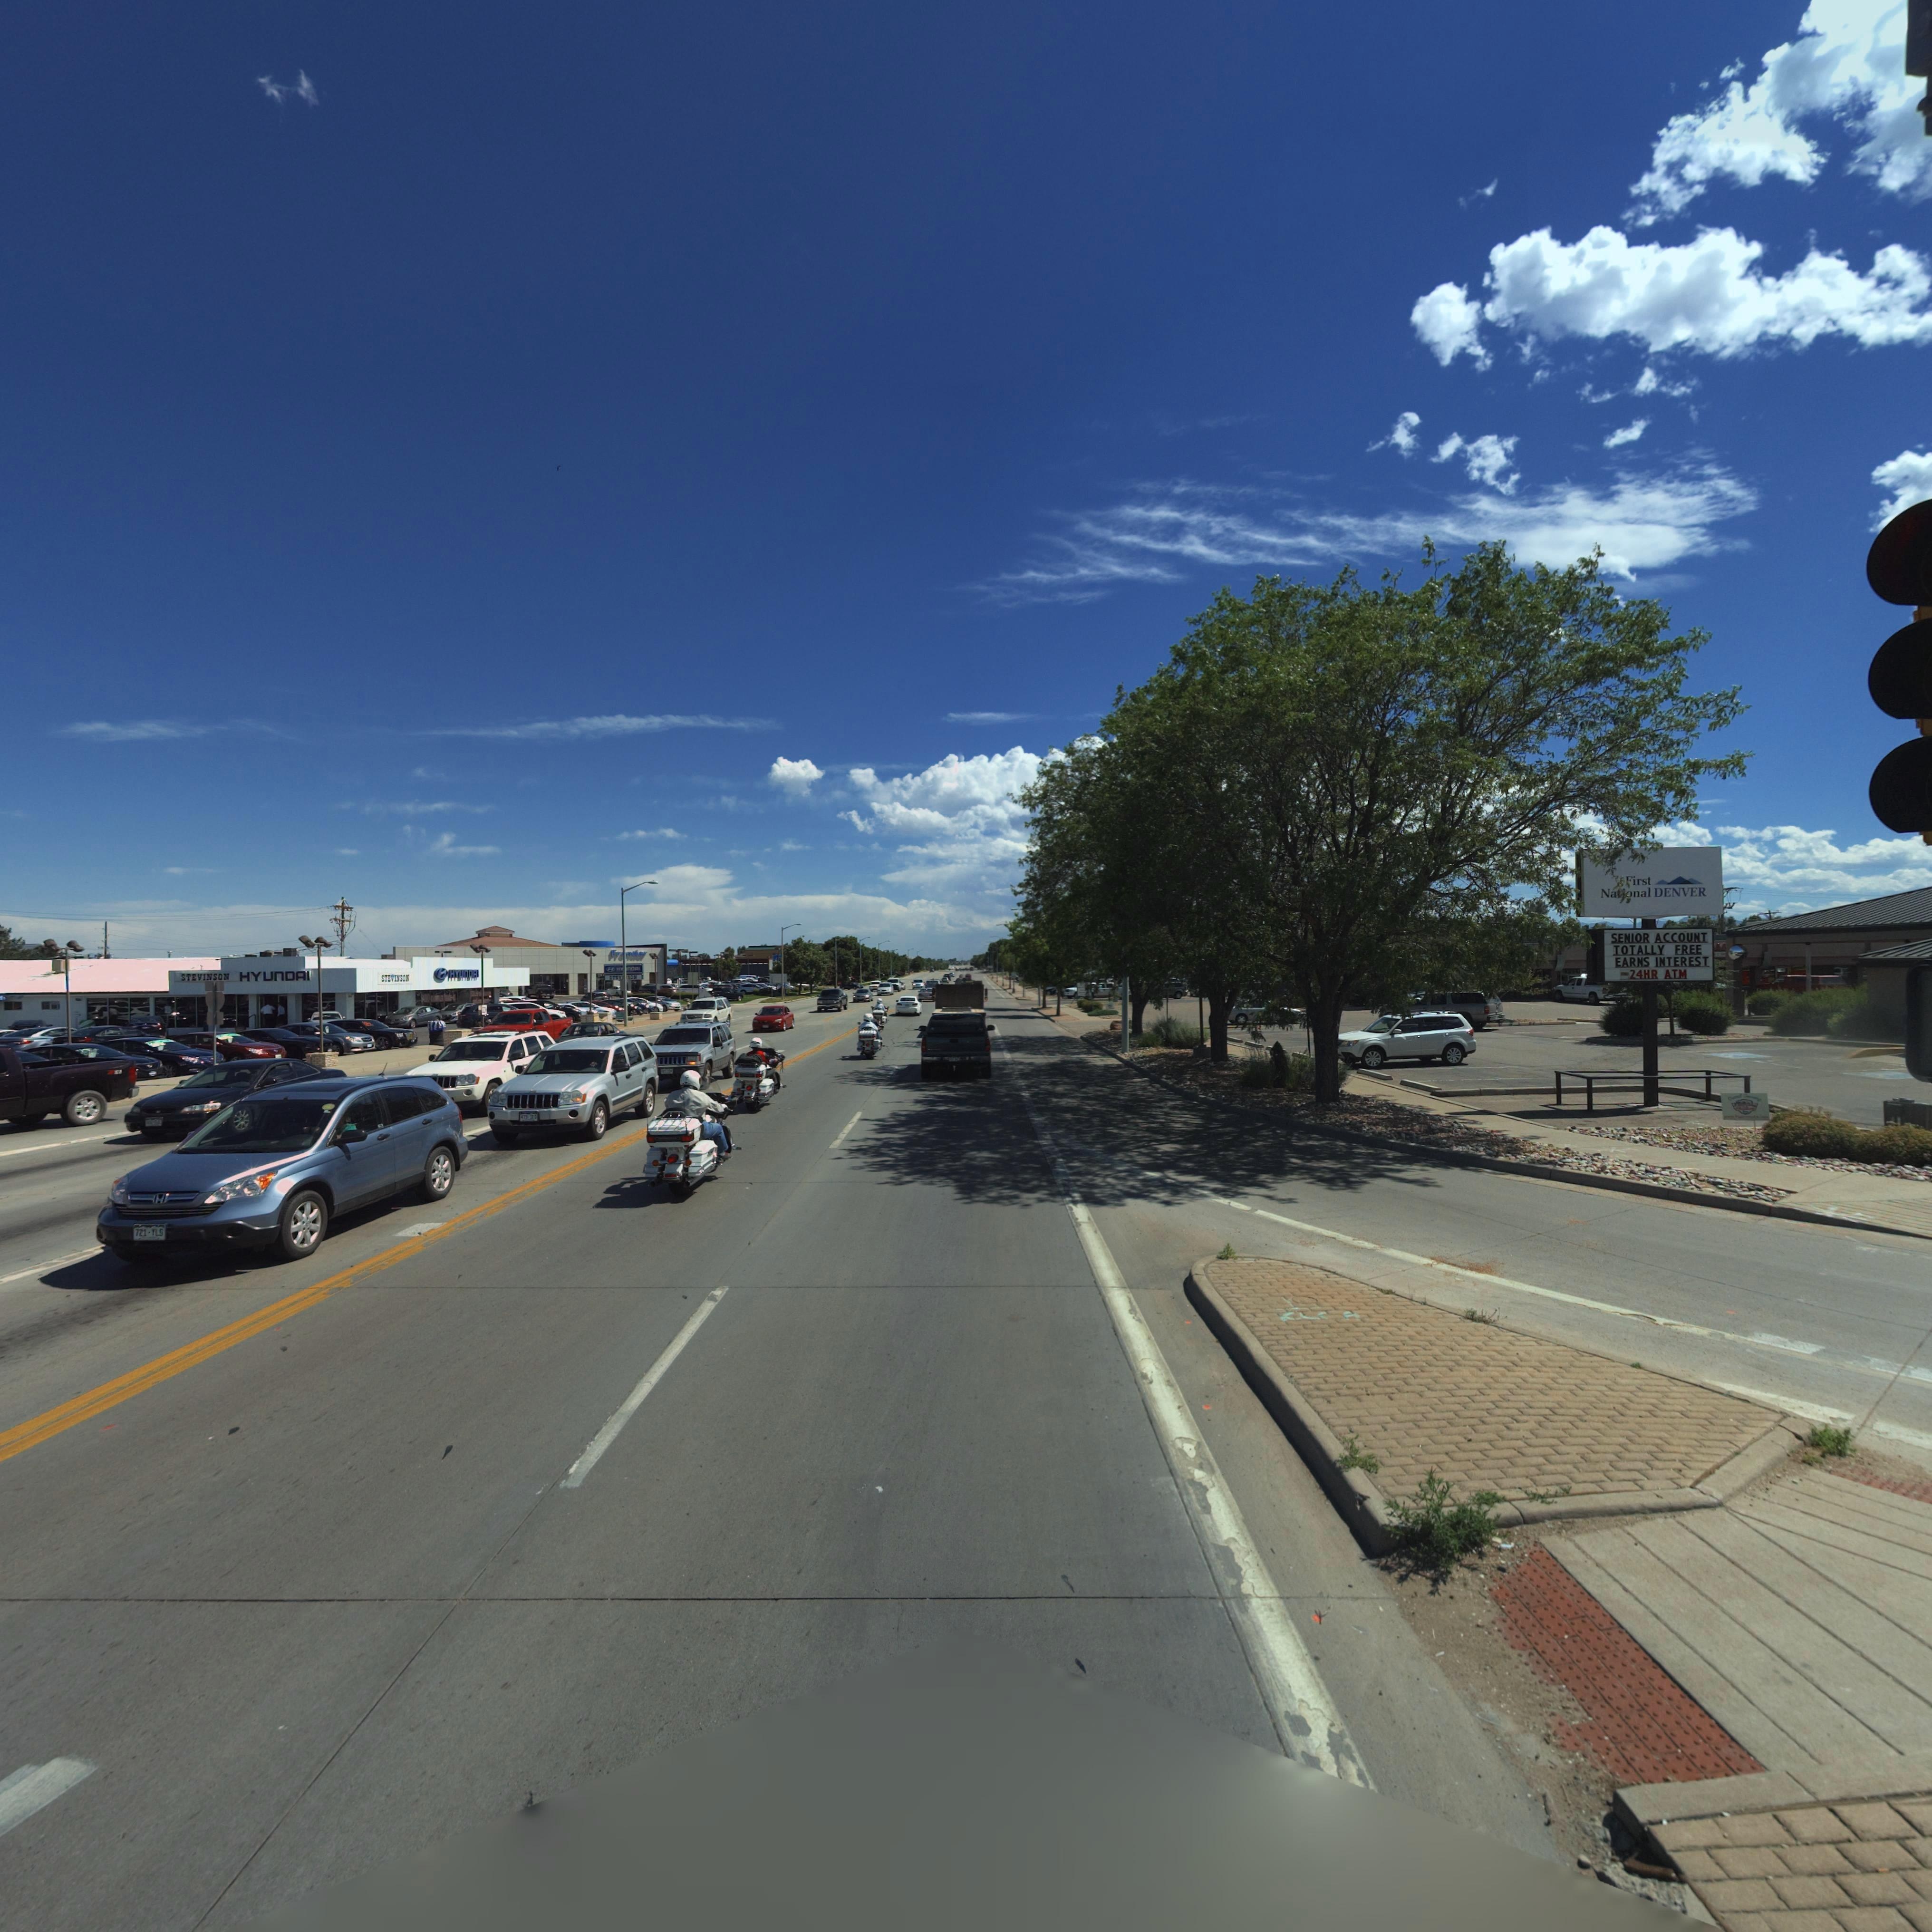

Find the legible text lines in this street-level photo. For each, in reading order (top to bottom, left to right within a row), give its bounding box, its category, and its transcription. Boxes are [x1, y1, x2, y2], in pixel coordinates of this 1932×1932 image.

[1625, 875, 1651, 886] StreetNumber: *irst
[1601, 886, 1707, 898] BusinessName: Na**onal DENVER
[611, 949, 648, 956] BusinessName: Fr*ntier
[616, 966, 640, 971] BusinessName: H**nDAI
[181, 970, 310, 982] BusinessName: STEVINSON HYUnDAI
[381, 974, 409, 982] BusinessName: STEVINSON
[449, 969, 479, 977] BusinessName: HYUnDAI
[609, 975, 637, 980] BusinessName: STEV*SON